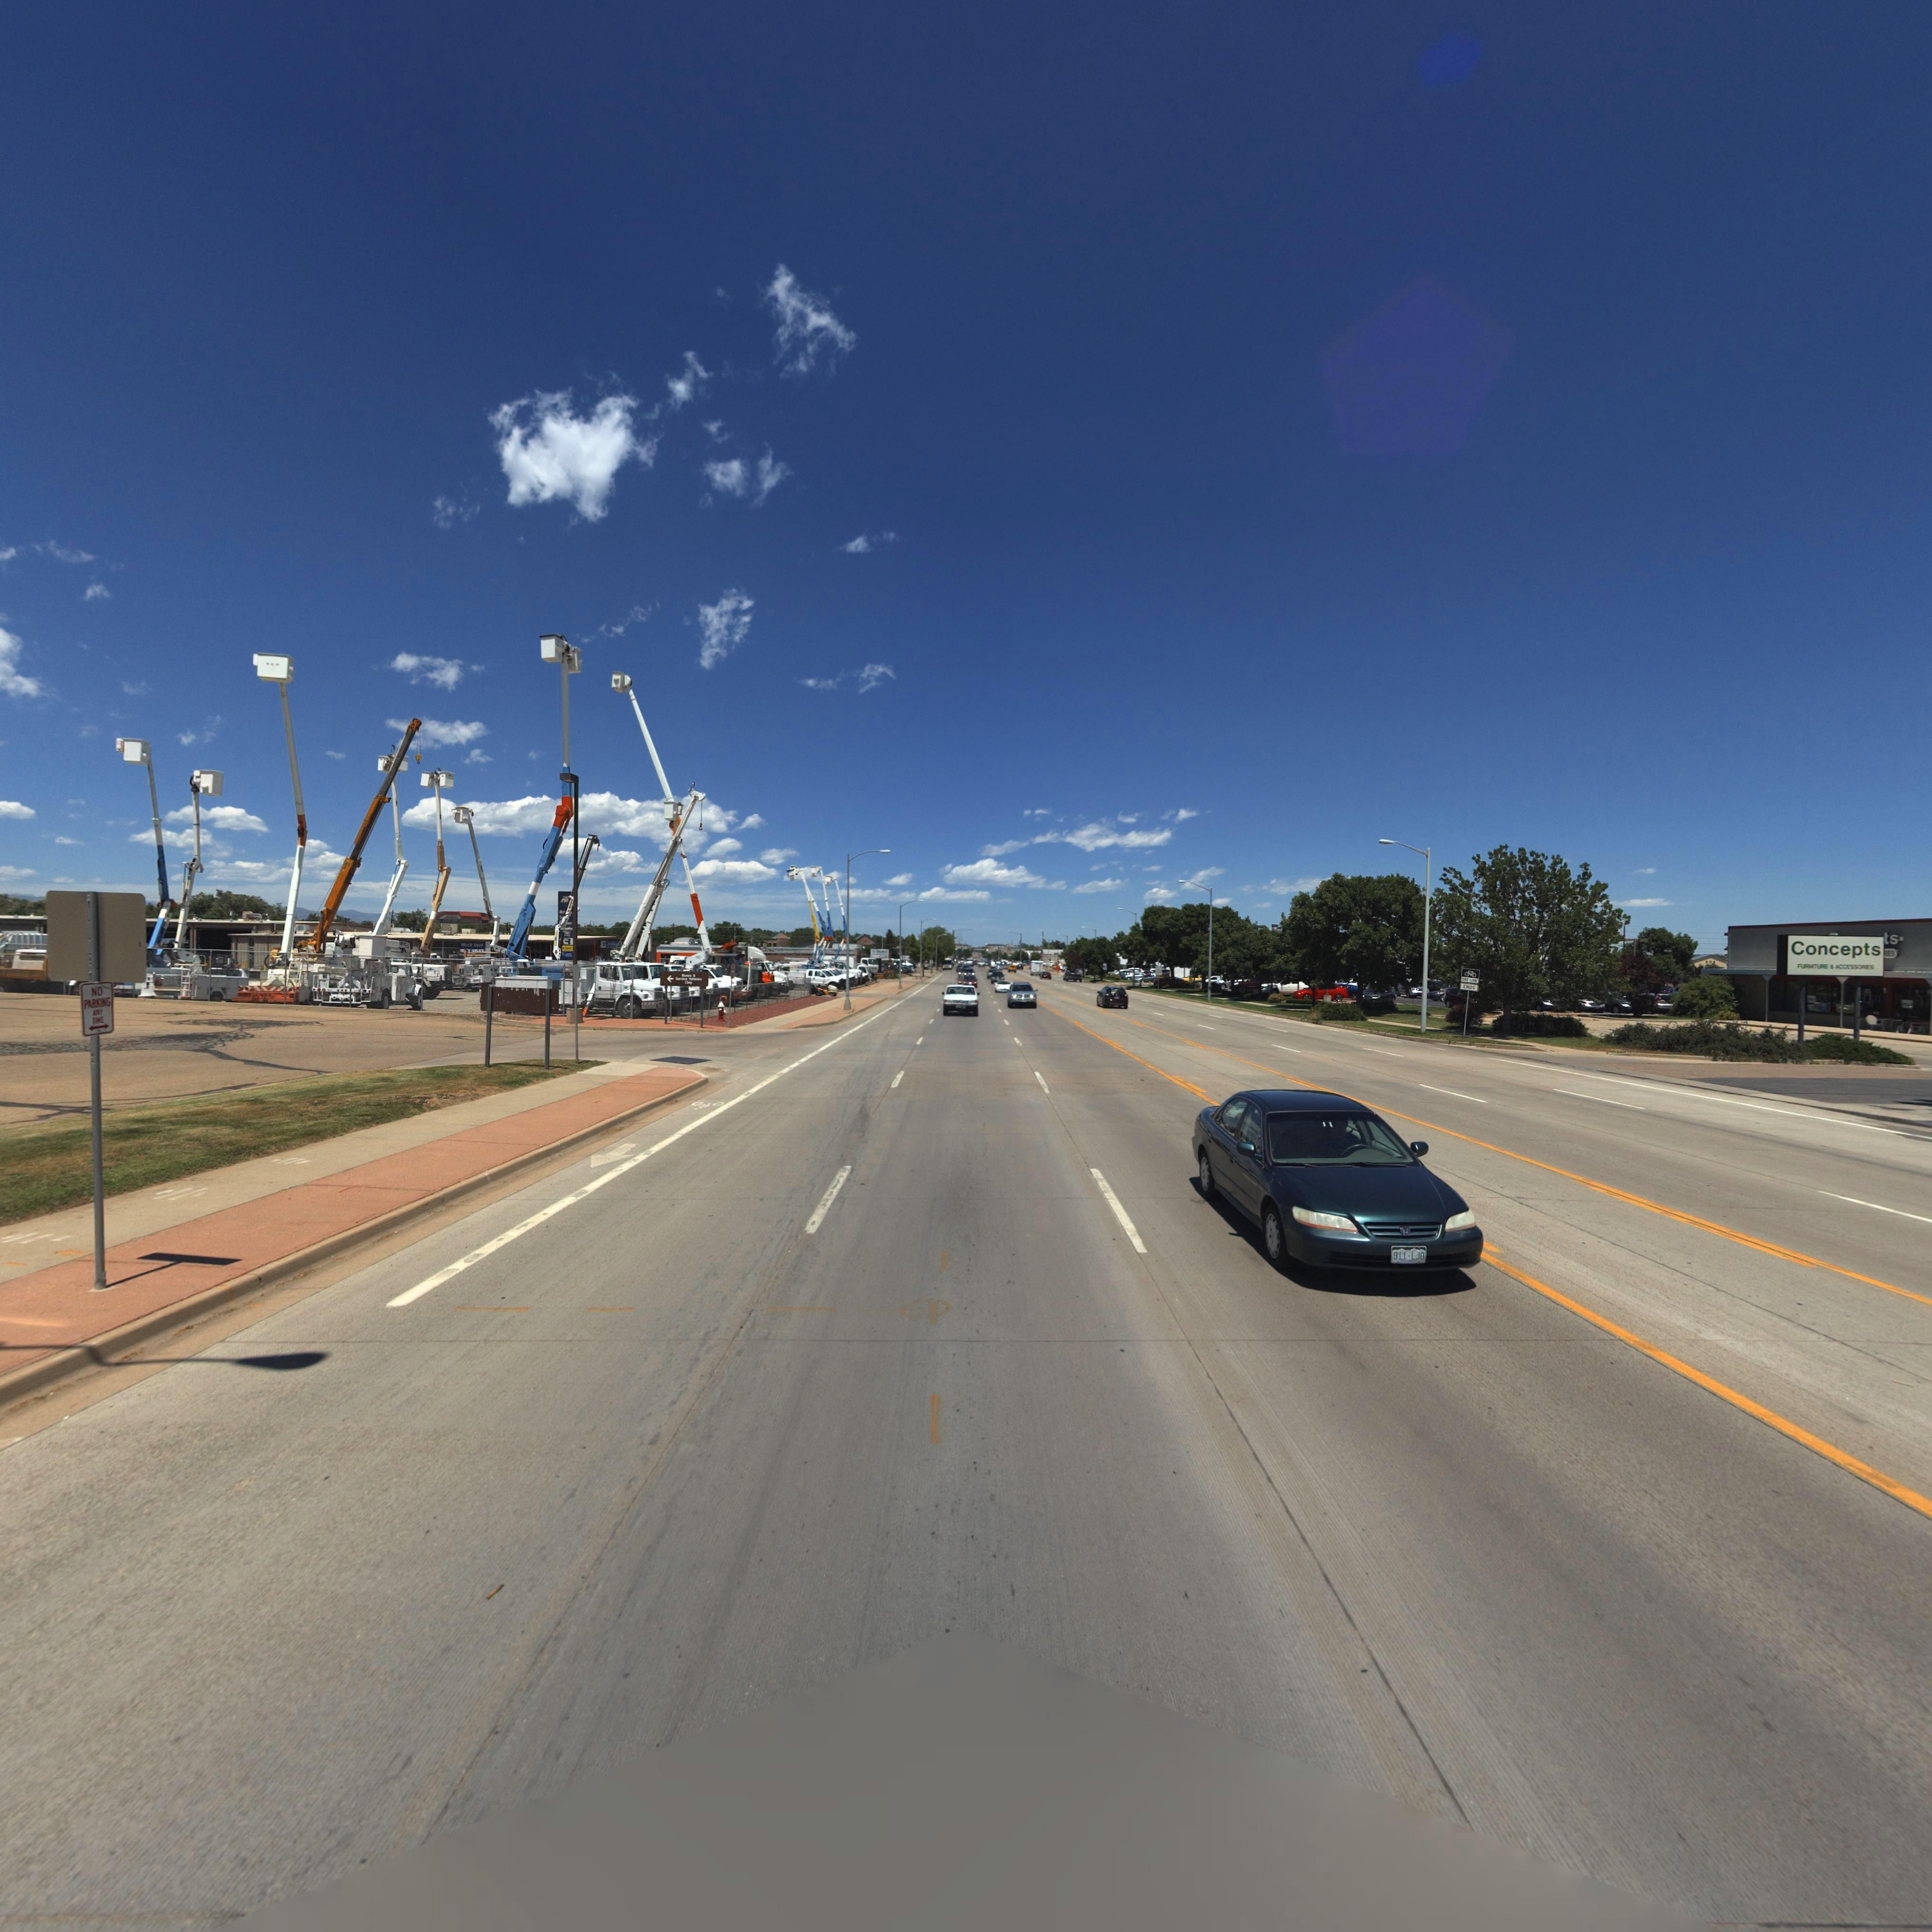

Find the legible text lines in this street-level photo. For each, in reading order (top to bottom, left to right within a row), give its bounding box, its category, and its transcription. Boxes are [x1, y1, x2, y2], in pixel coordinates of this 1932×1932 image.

[560, 896, 570, 902] BusinessName: MT
[1884, 931, 1899, 945] BusinessName: *s
[1790, 940, 1881, 958] BusinessName: Concepts
[1884, 949, 1895, 957] BusinessName: *E*
[1796, 963, 1875, 970] BusinessName: FURNITURE * ACCESSORIES